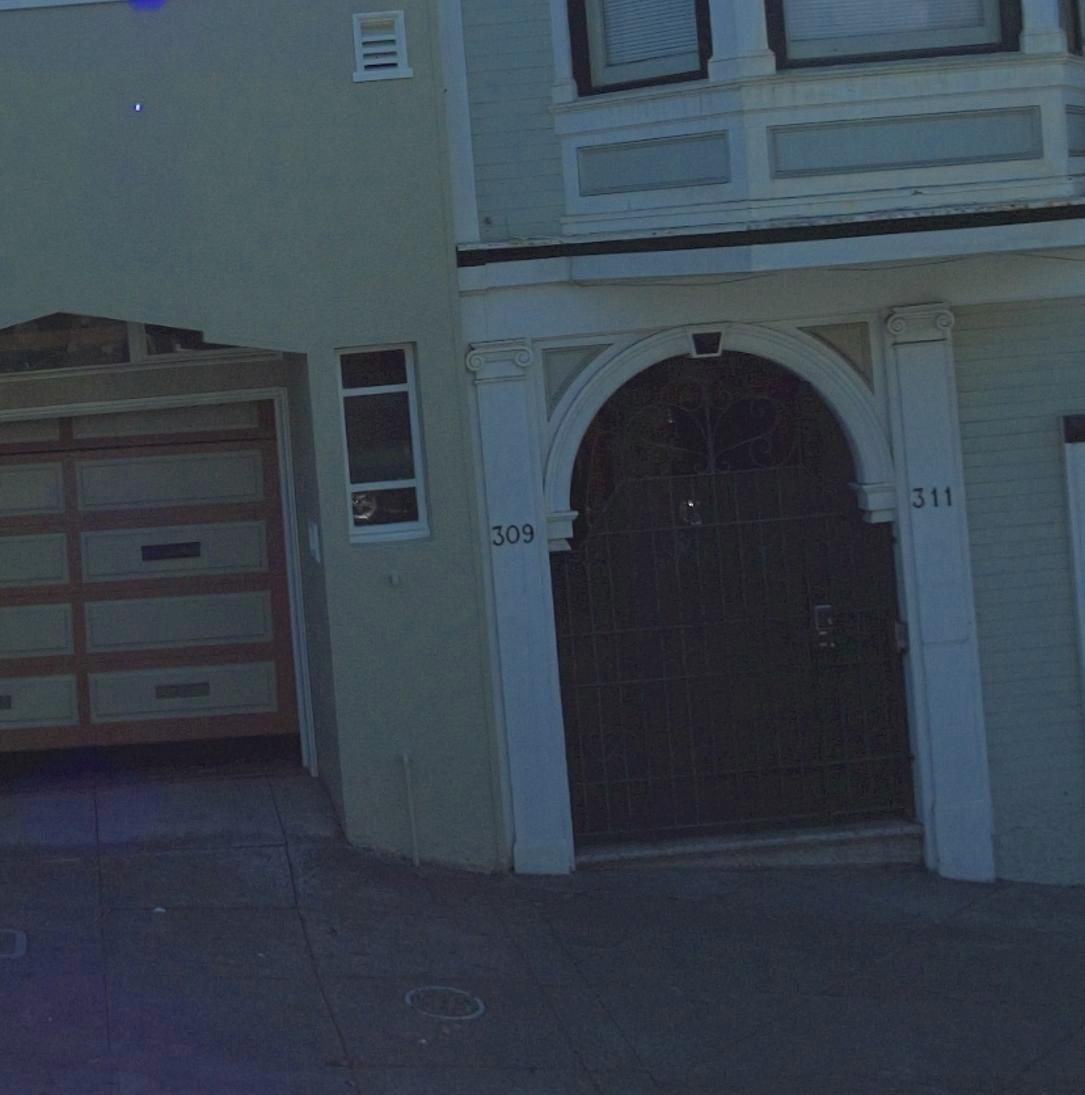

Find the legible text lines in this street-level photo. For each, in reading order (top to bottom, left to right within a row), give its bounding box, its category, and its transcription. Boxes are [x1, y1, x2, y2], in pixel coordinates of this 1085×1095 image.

[910, 485, 956, 509] StreetNumber: 311
[491, 523, 536, 548] StreetNumber: 309